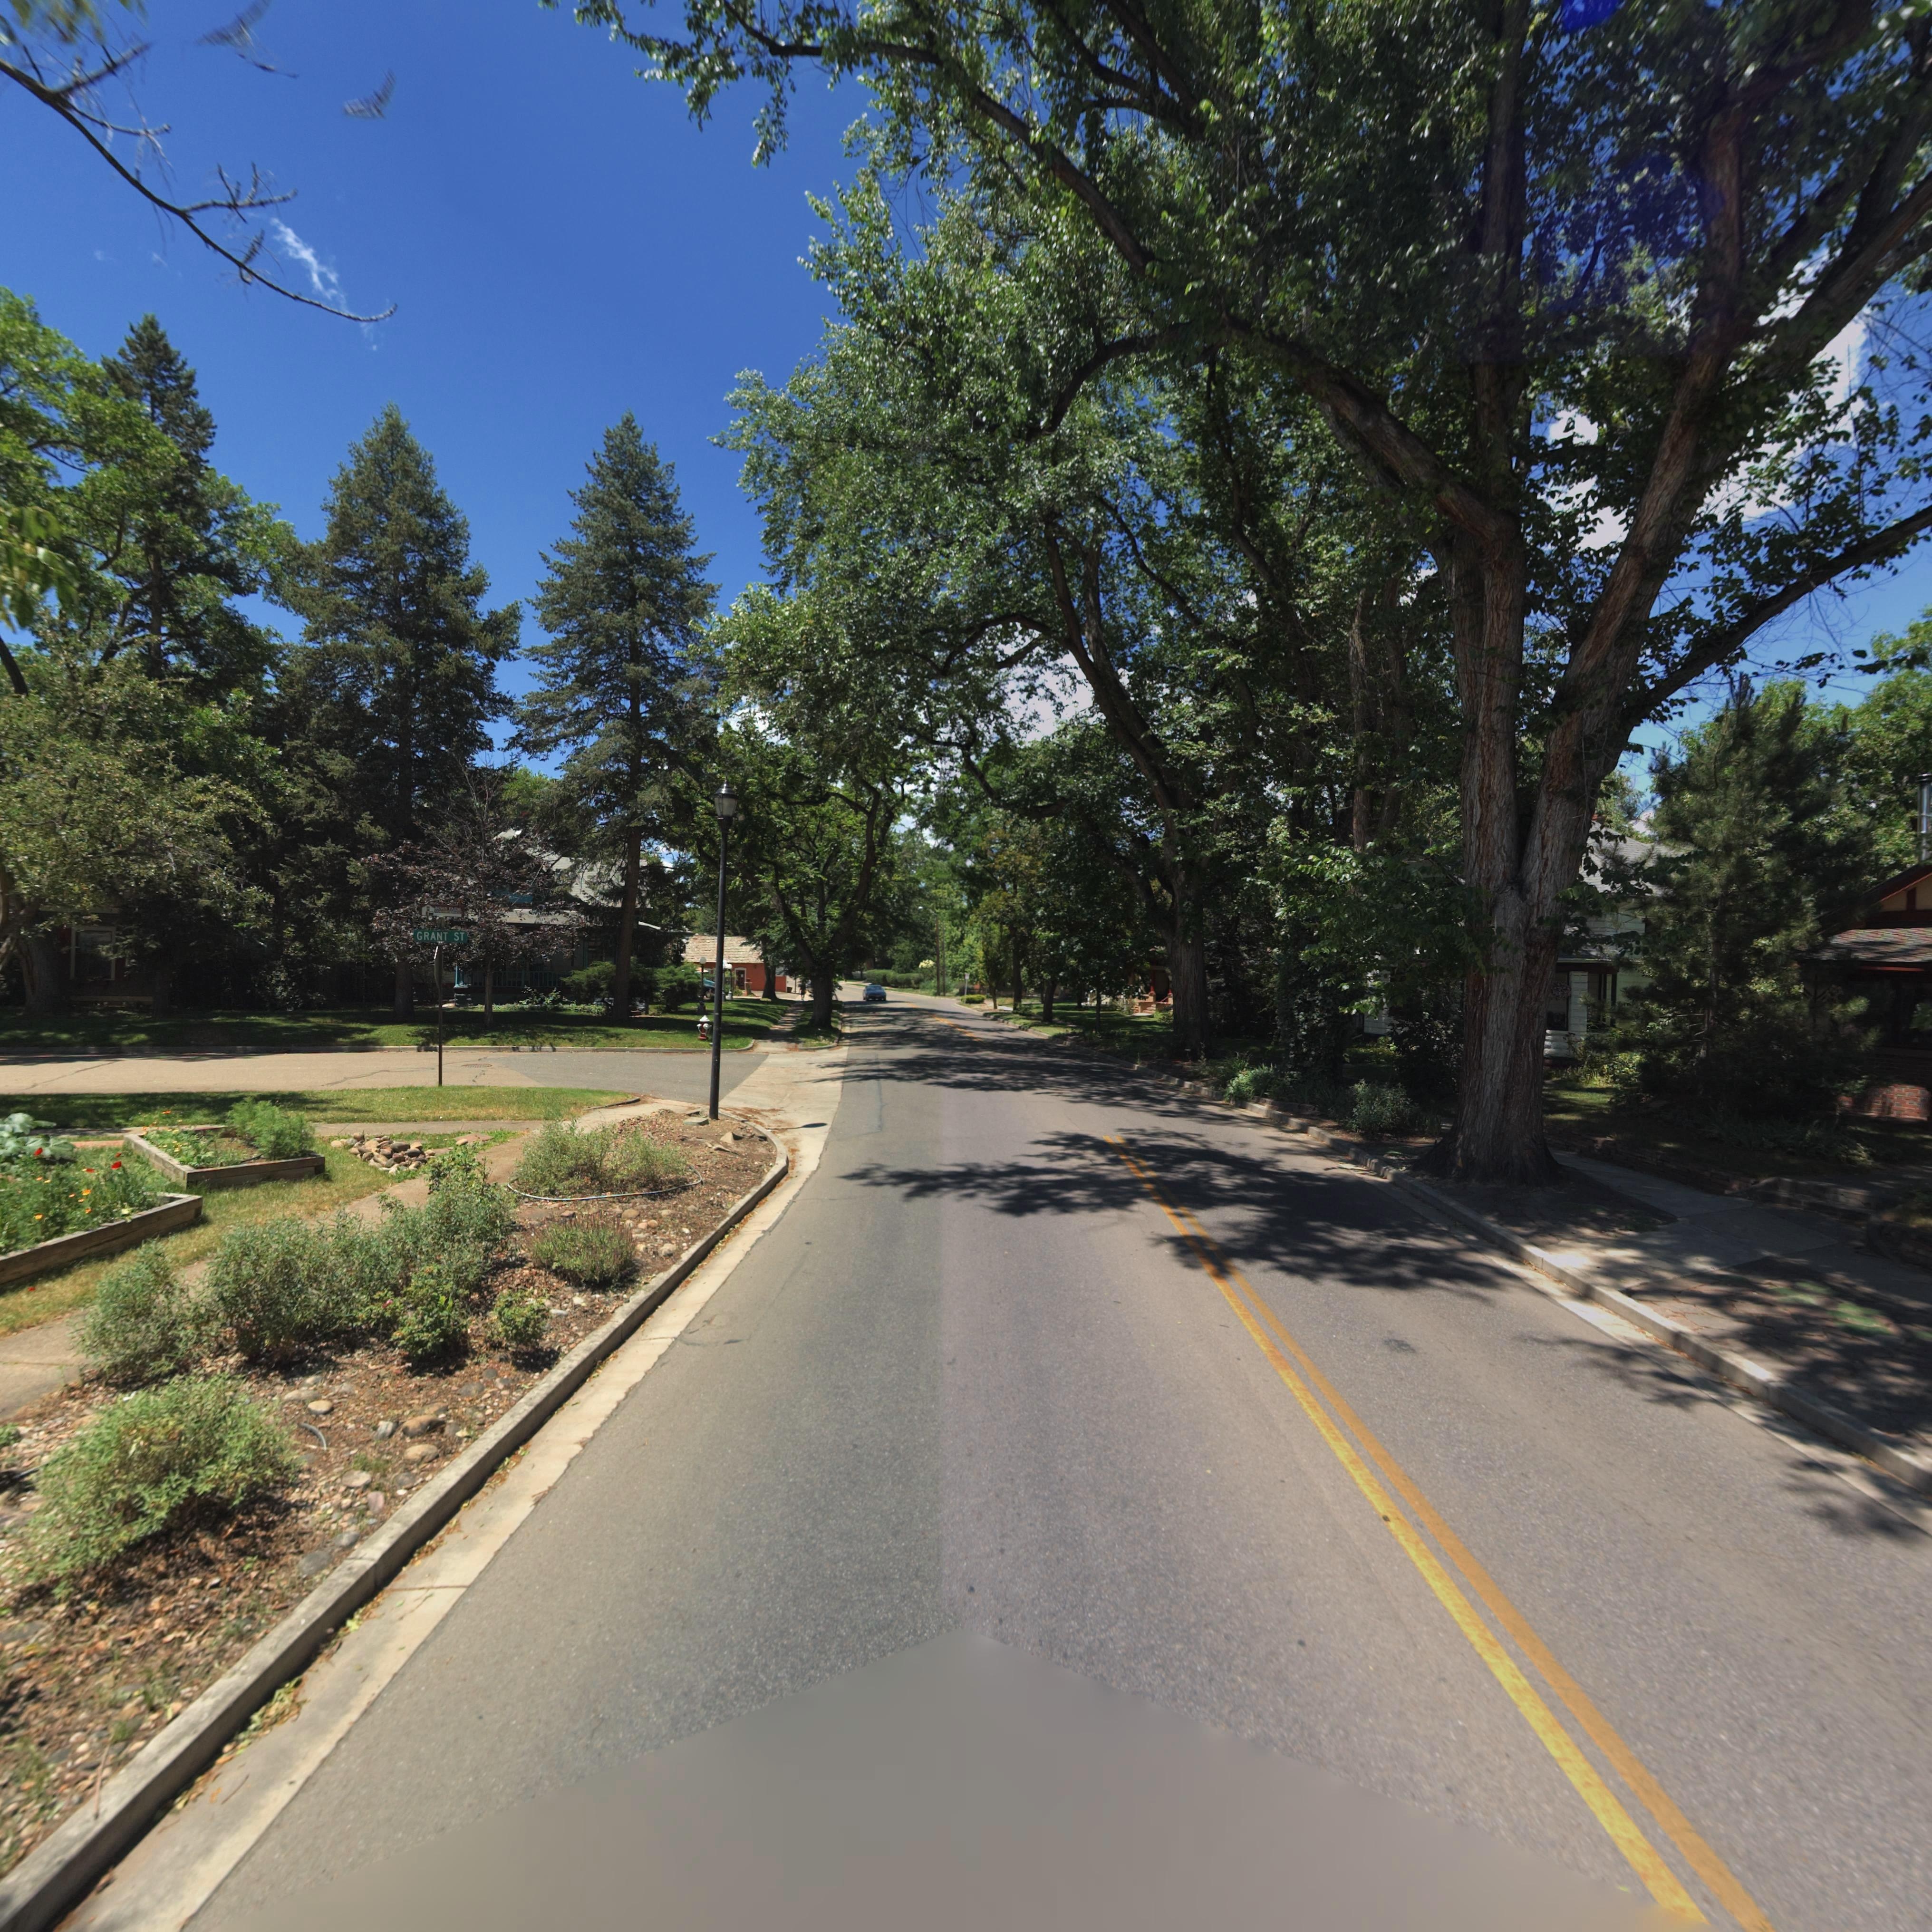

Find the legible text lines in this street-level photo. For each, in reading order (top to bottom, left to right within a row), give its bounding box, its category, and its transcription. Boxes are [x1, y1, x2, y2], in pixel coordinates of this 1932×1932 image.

[416, 931, 464, 941] StreetName: GRANT ST